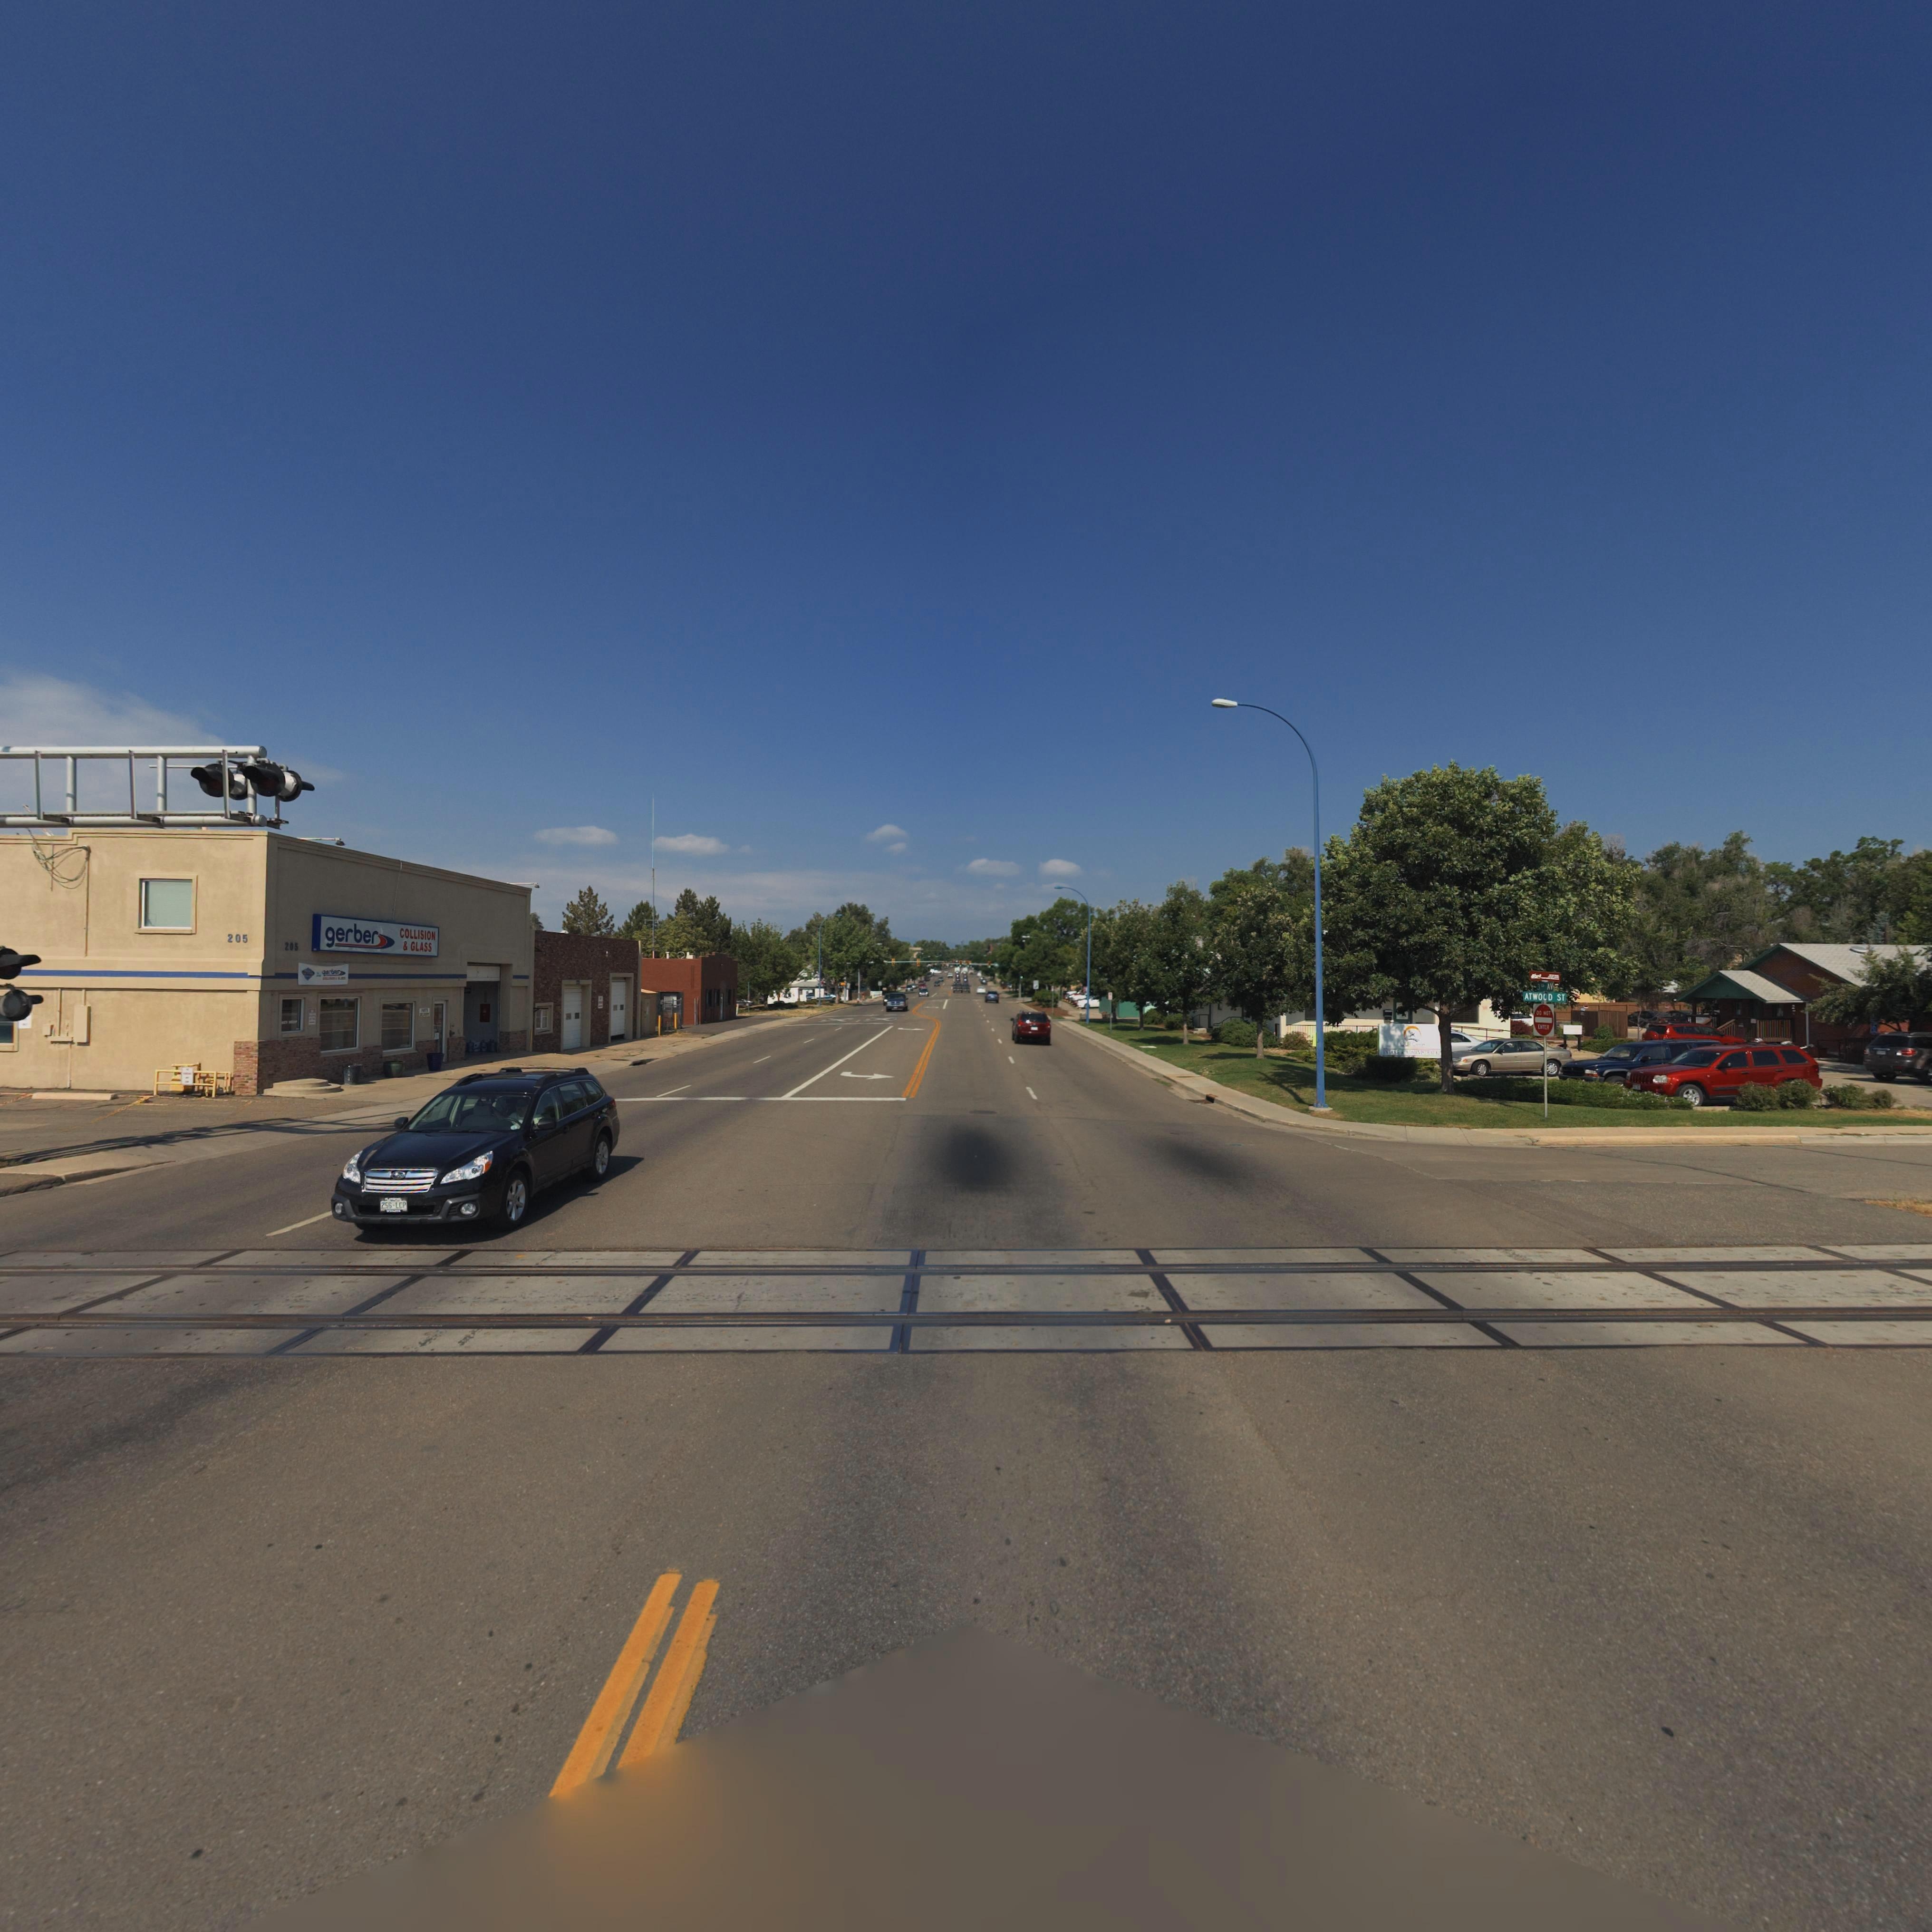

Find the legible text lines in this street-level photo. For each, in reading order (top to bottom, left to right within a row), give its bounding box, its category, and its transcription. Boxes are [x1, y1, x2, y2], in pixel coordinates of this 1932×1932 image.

[227, 933, 248, 943] StreetNumber: 205
[325, 922, 379, 947] BusinessName: gerber
[398, 927, 435, 941] BusinessName: COLLISION
[284, 941, 298, 951] StreetNumber: 205
[402, 940, 432, 952] BusinessName: * GLASS
[321, 967, 340, 976] BusinessName: g*rber
[1536, 983, 1553, 990] StreetName: 3* AV
[1524, 992, 1565, 1001] StreetName: ATWOOD ST
[1399, 1041, 1425, 1047] BusinessName: OUR Cen*er